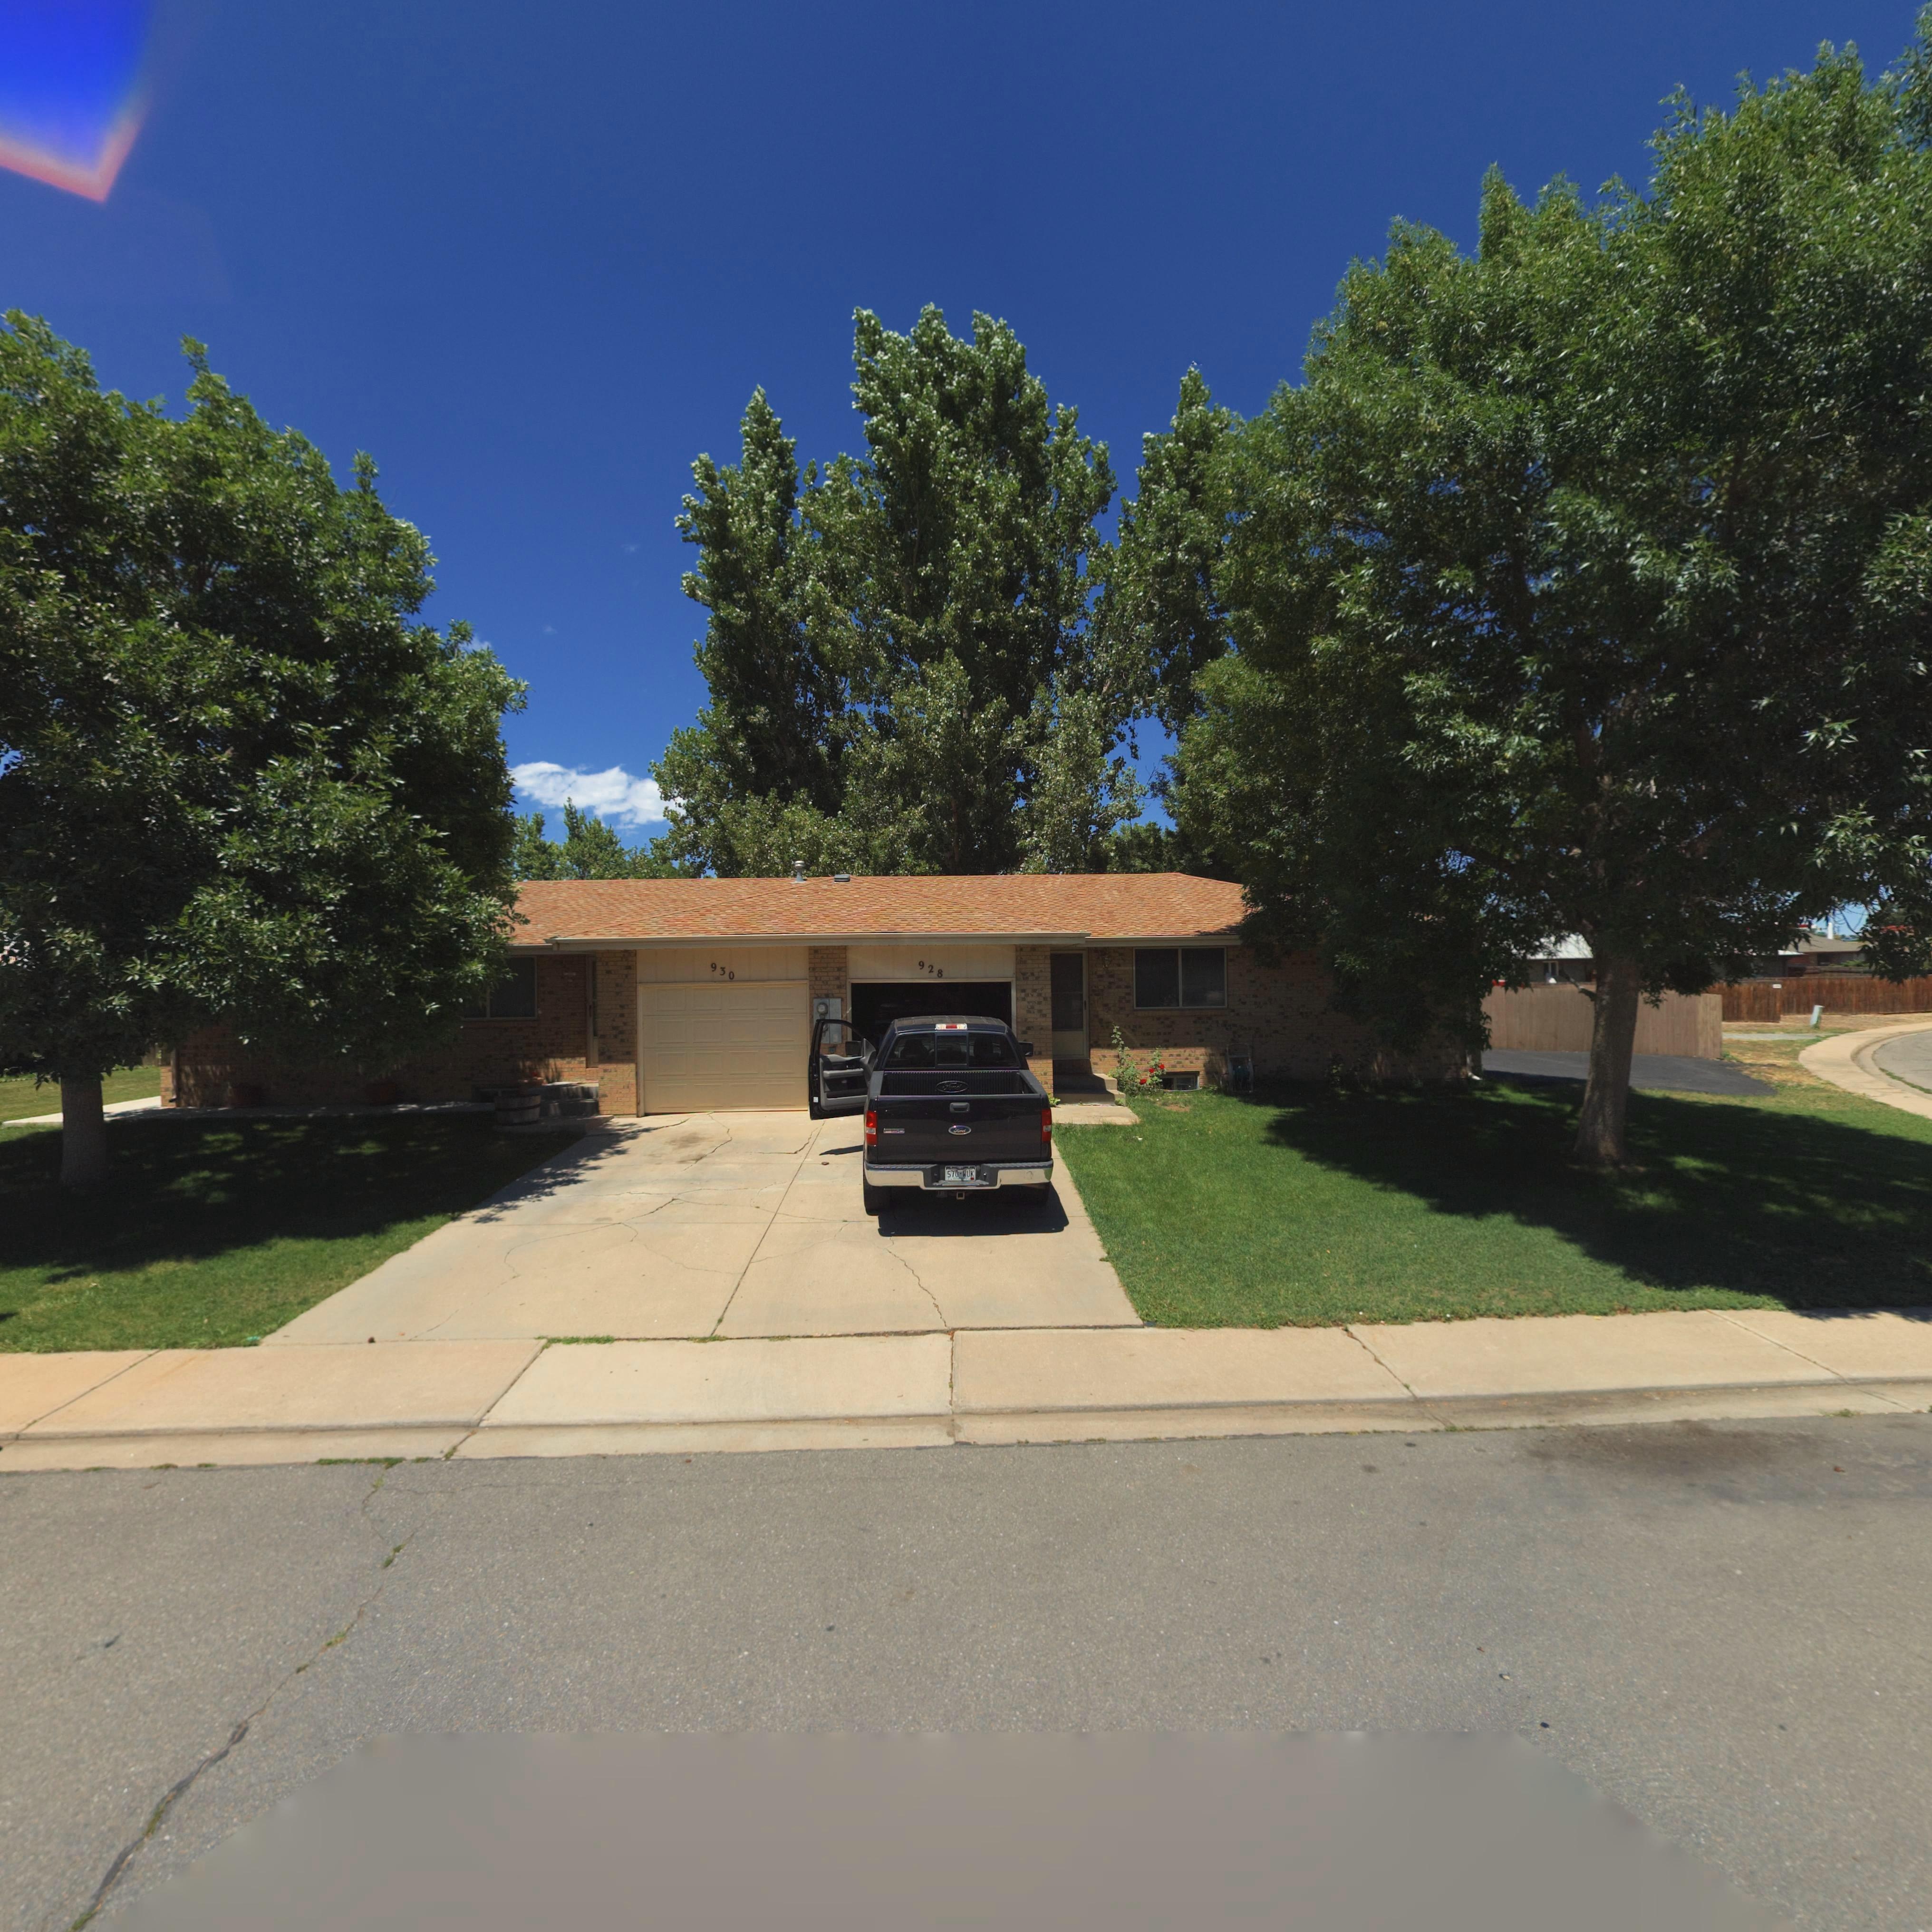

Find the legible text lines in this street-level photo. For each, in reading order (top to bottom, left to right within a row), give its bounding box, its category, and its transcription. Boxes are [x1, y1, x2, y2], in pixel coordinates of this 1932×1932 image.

[710, 962, 734, 980] StreetNumber: 930
[918, 960, 943, 978] StreetNumber: 928